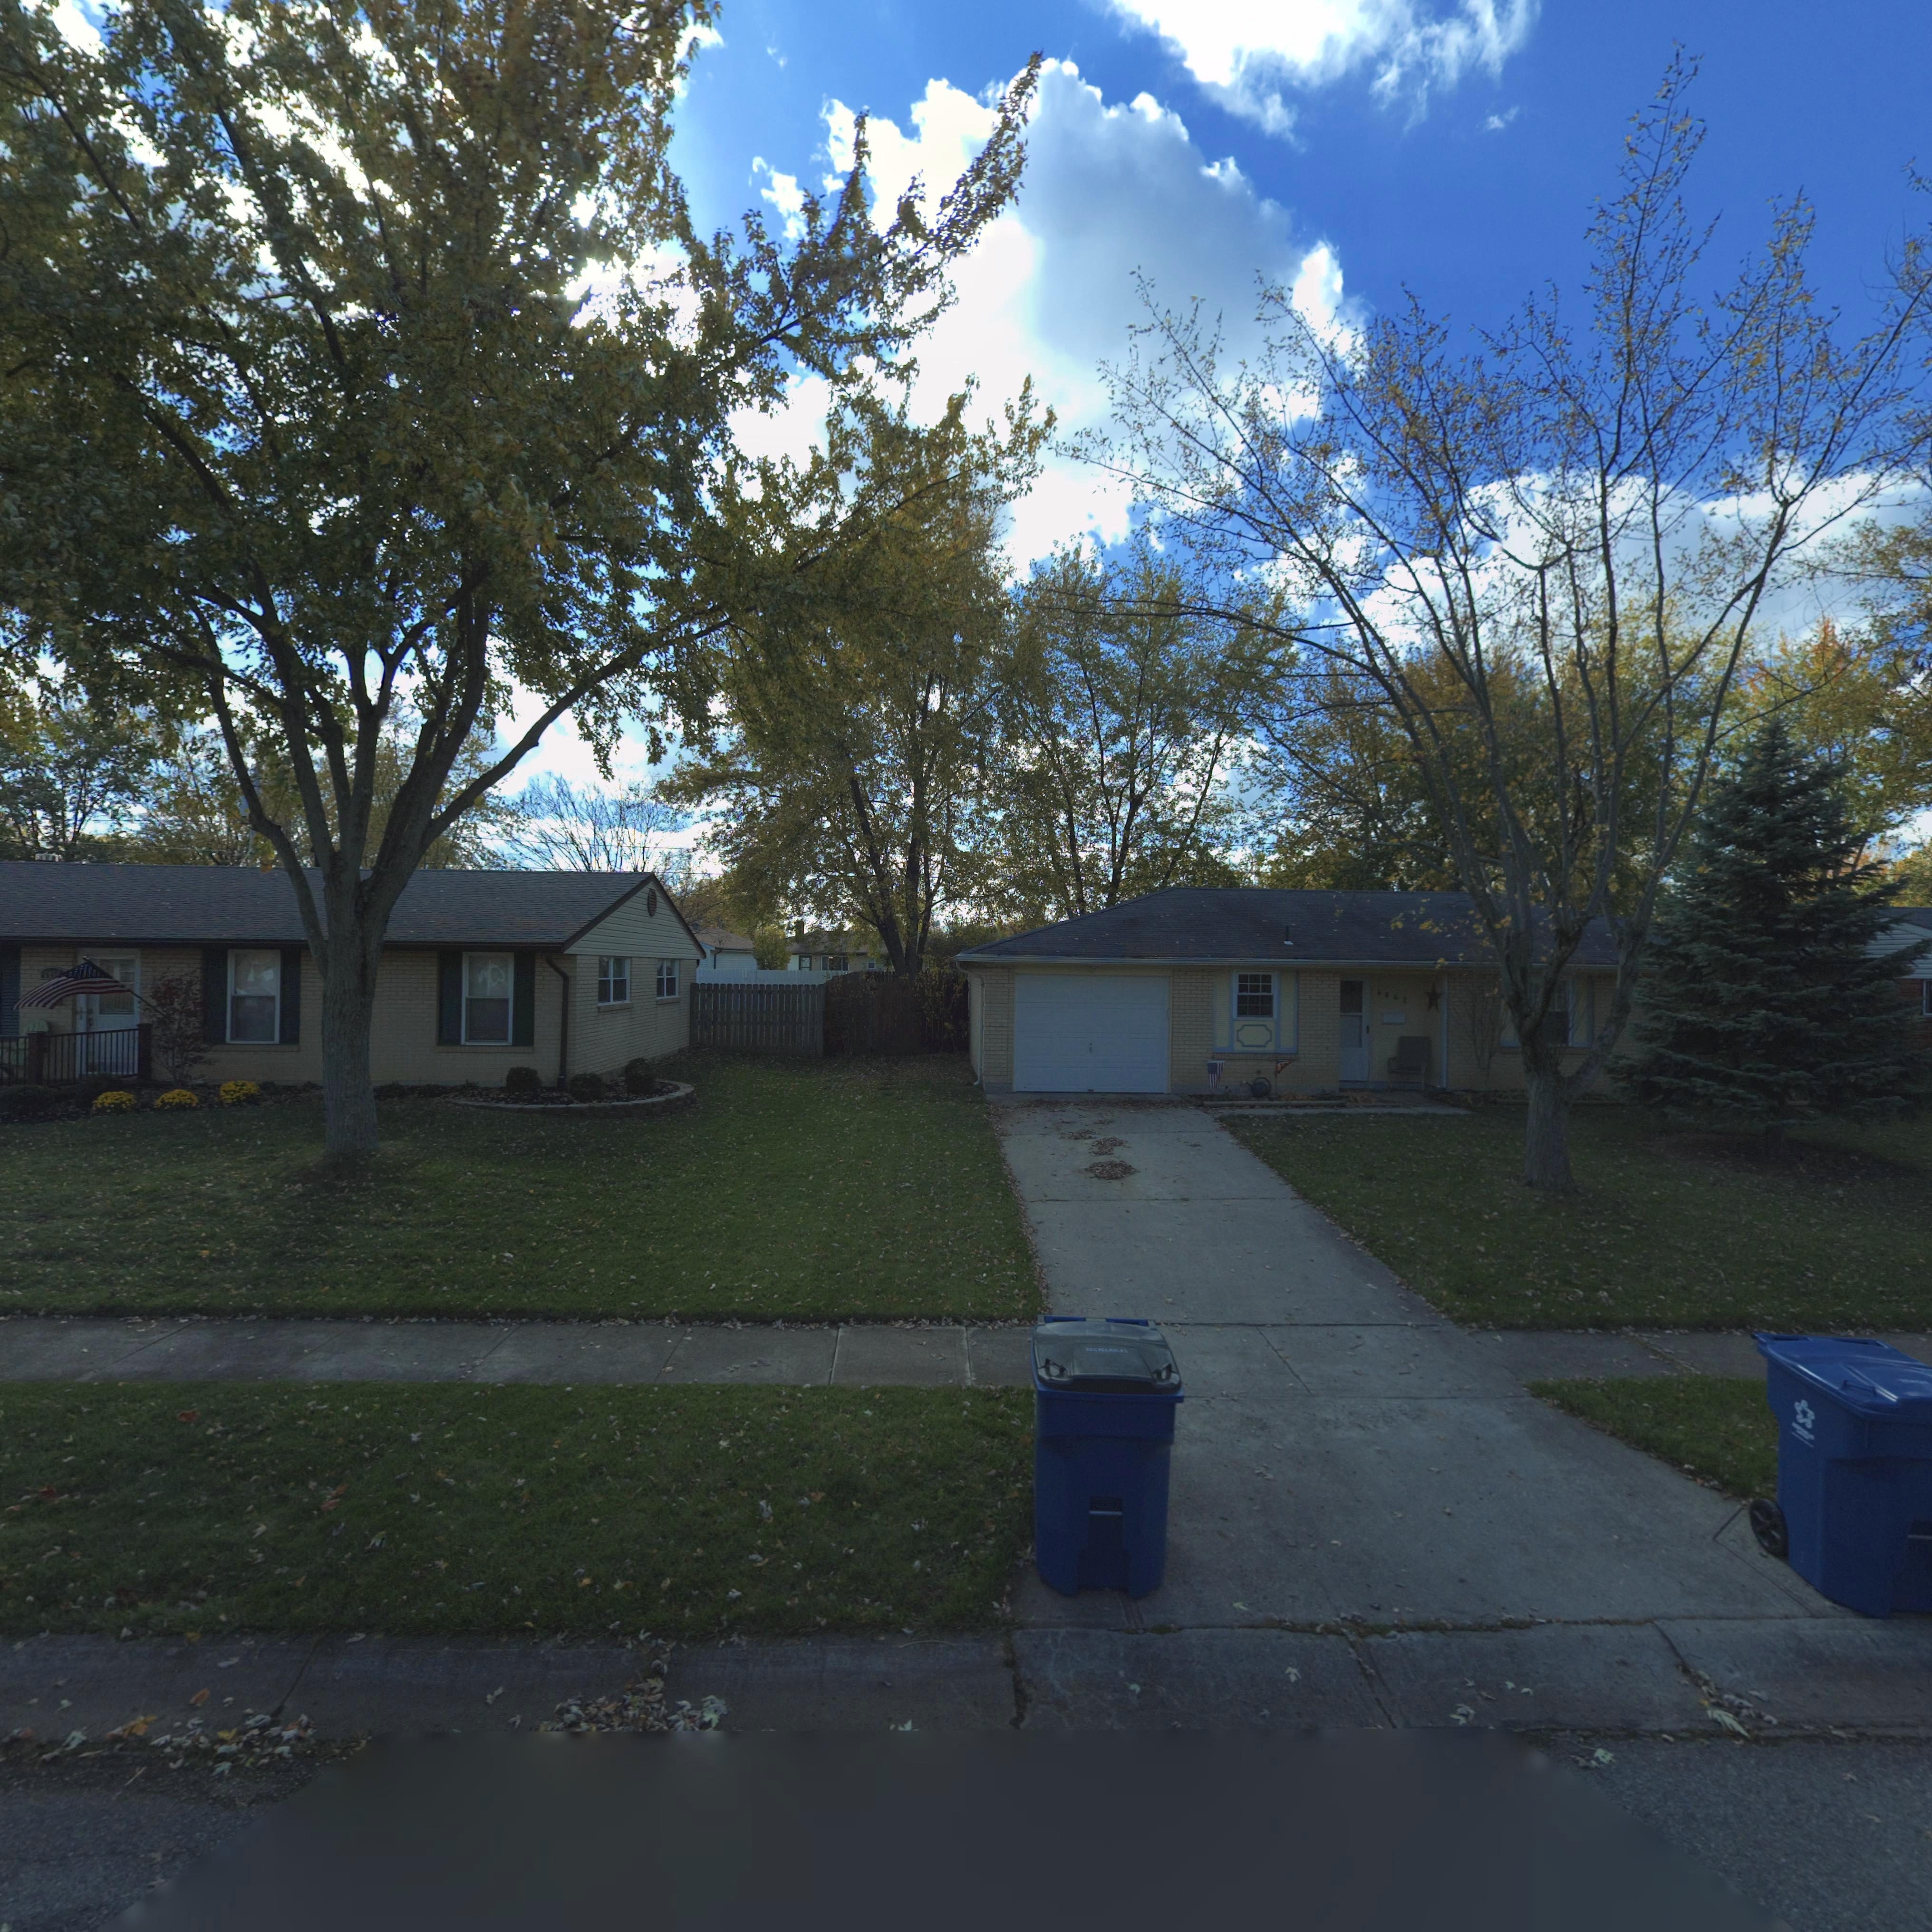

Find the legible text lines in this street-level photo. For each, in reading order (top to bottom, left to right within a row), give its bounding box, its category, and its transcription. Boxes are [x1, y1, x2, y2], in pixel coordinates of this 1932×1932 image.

[42, 970, 60, 978] StreetNumber: 6*5*
[1376, 987, 1408, 1004] StreetNumber: 6842